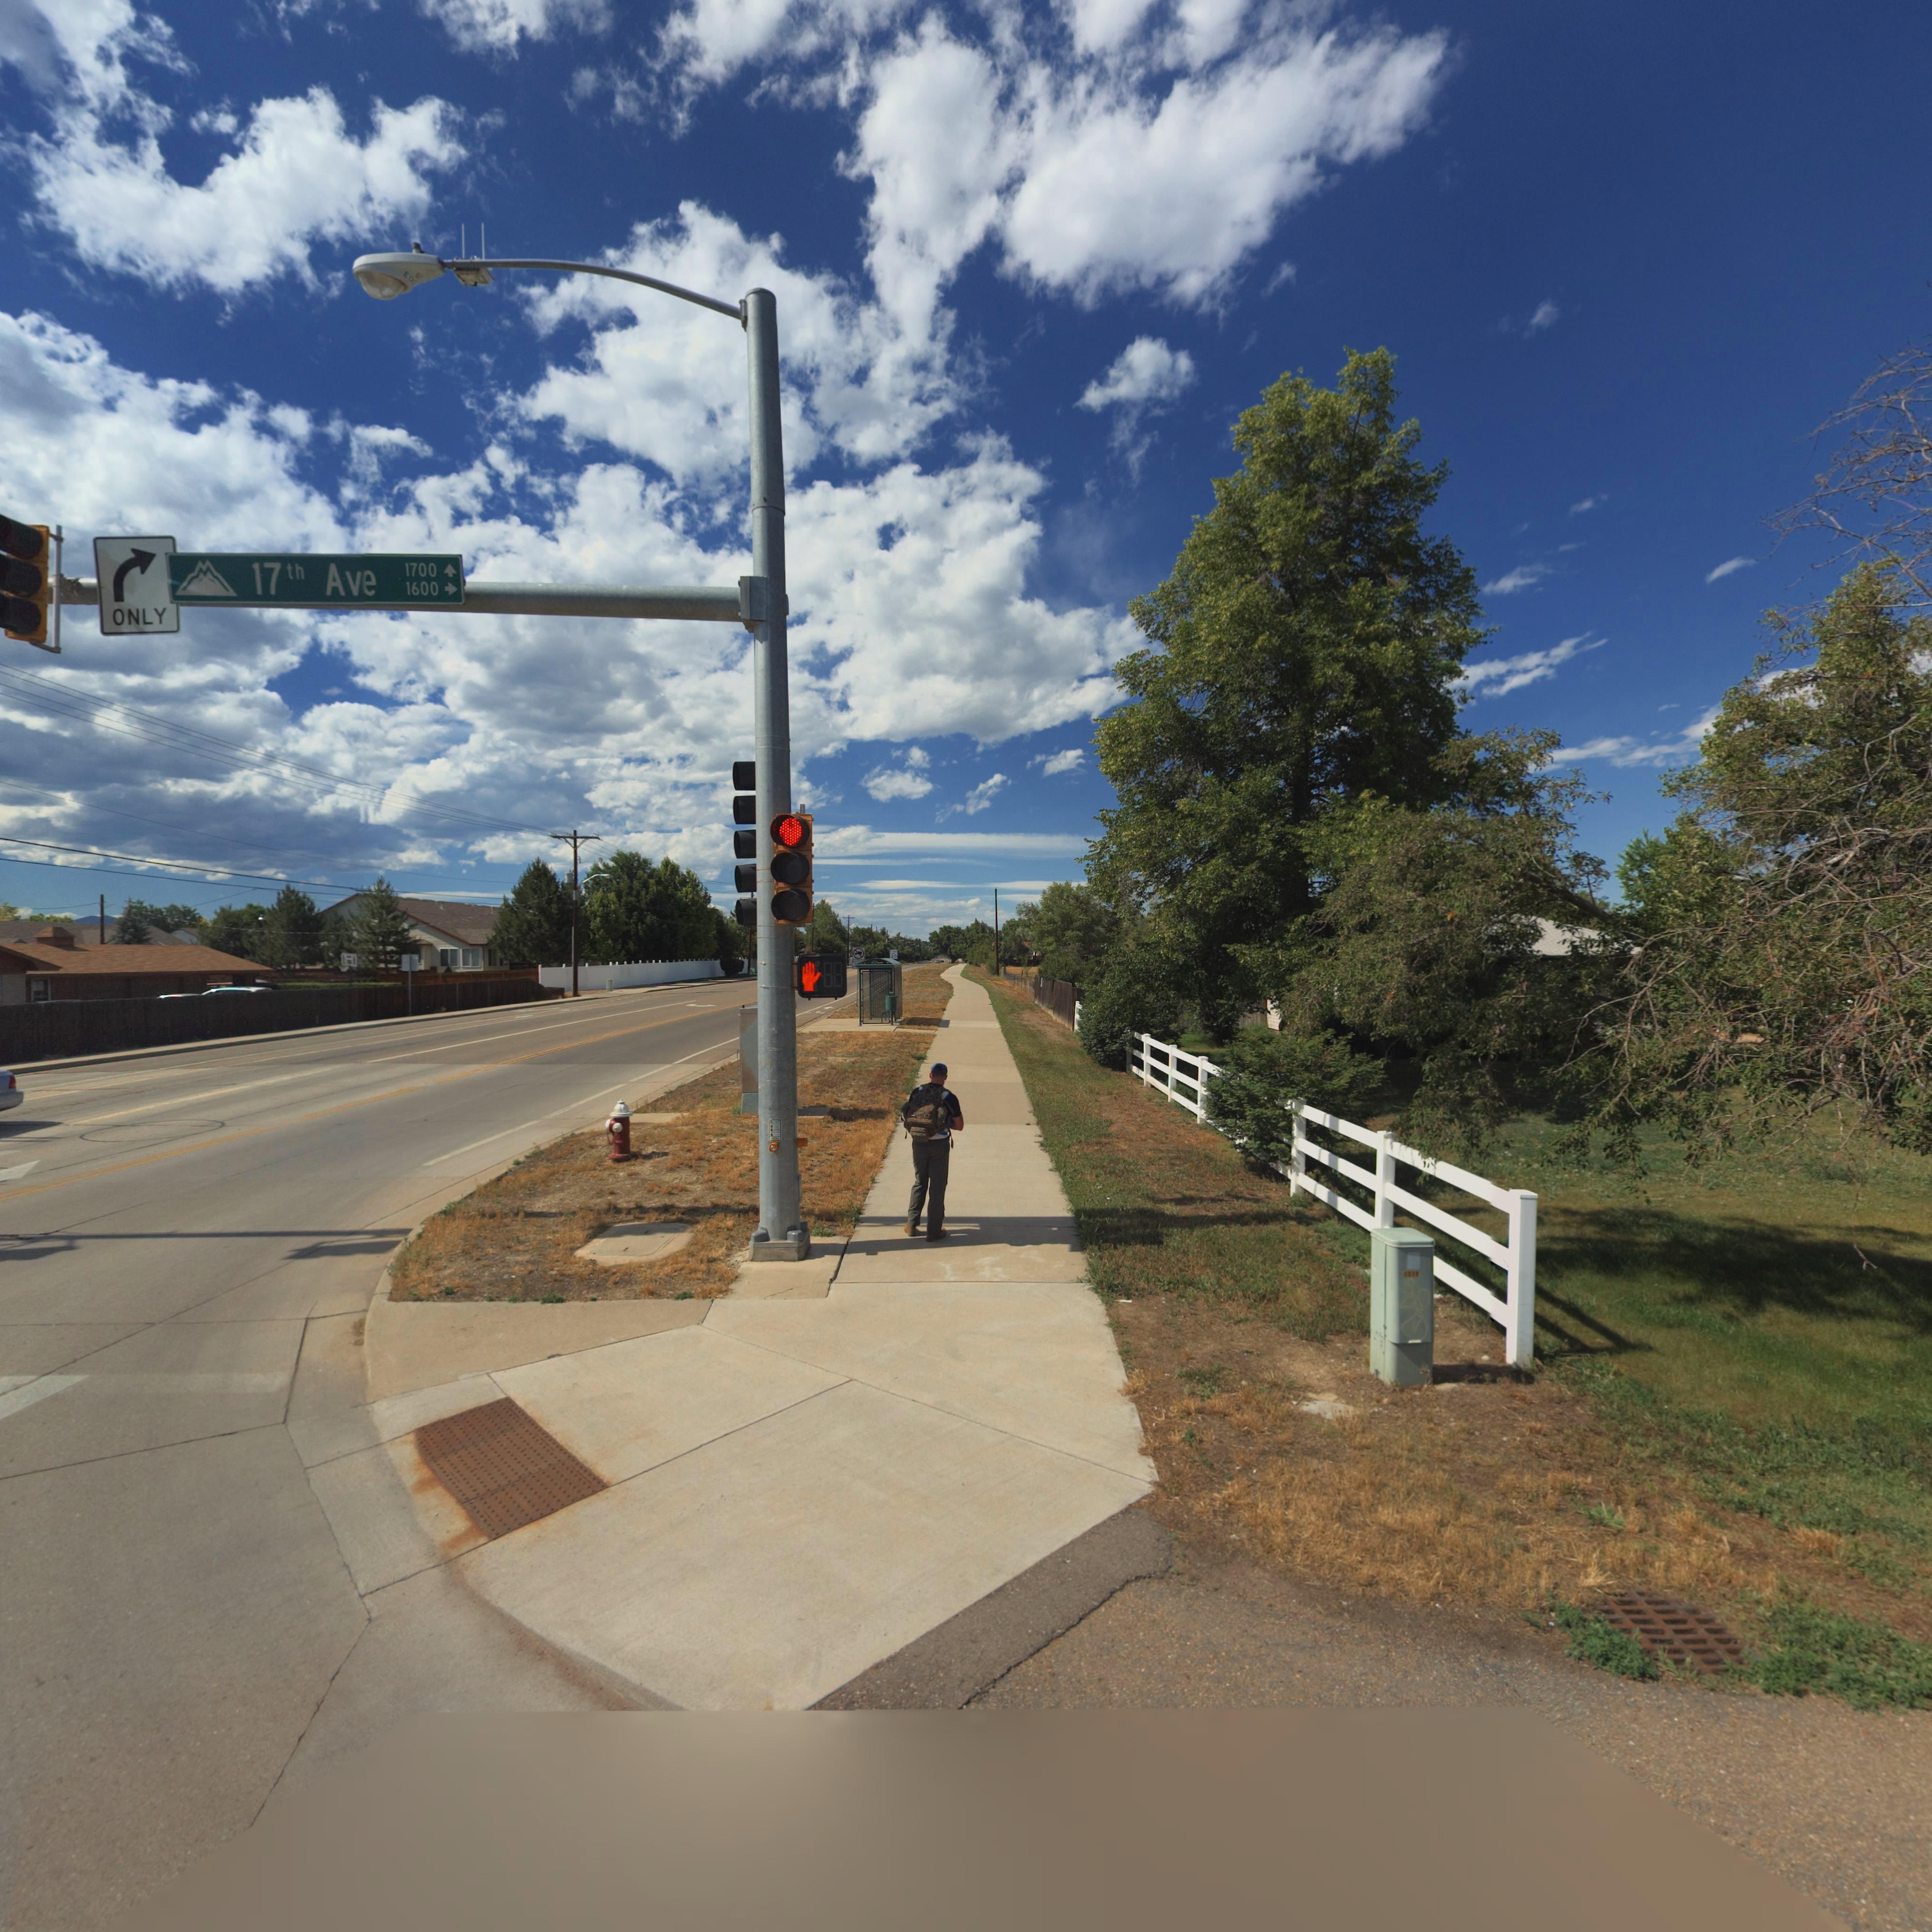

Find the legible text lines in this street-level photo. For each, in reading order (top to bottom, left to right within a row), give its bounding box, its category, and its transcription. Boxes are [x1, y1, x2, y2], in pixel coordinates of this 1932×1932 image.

[404, 562, 437, 578] StreetNumberRange: 1700
[251, 561, 377, 597] StreetName: 17th Ave
[405, 580, 459, 597] StreetNumberRange: 1600->